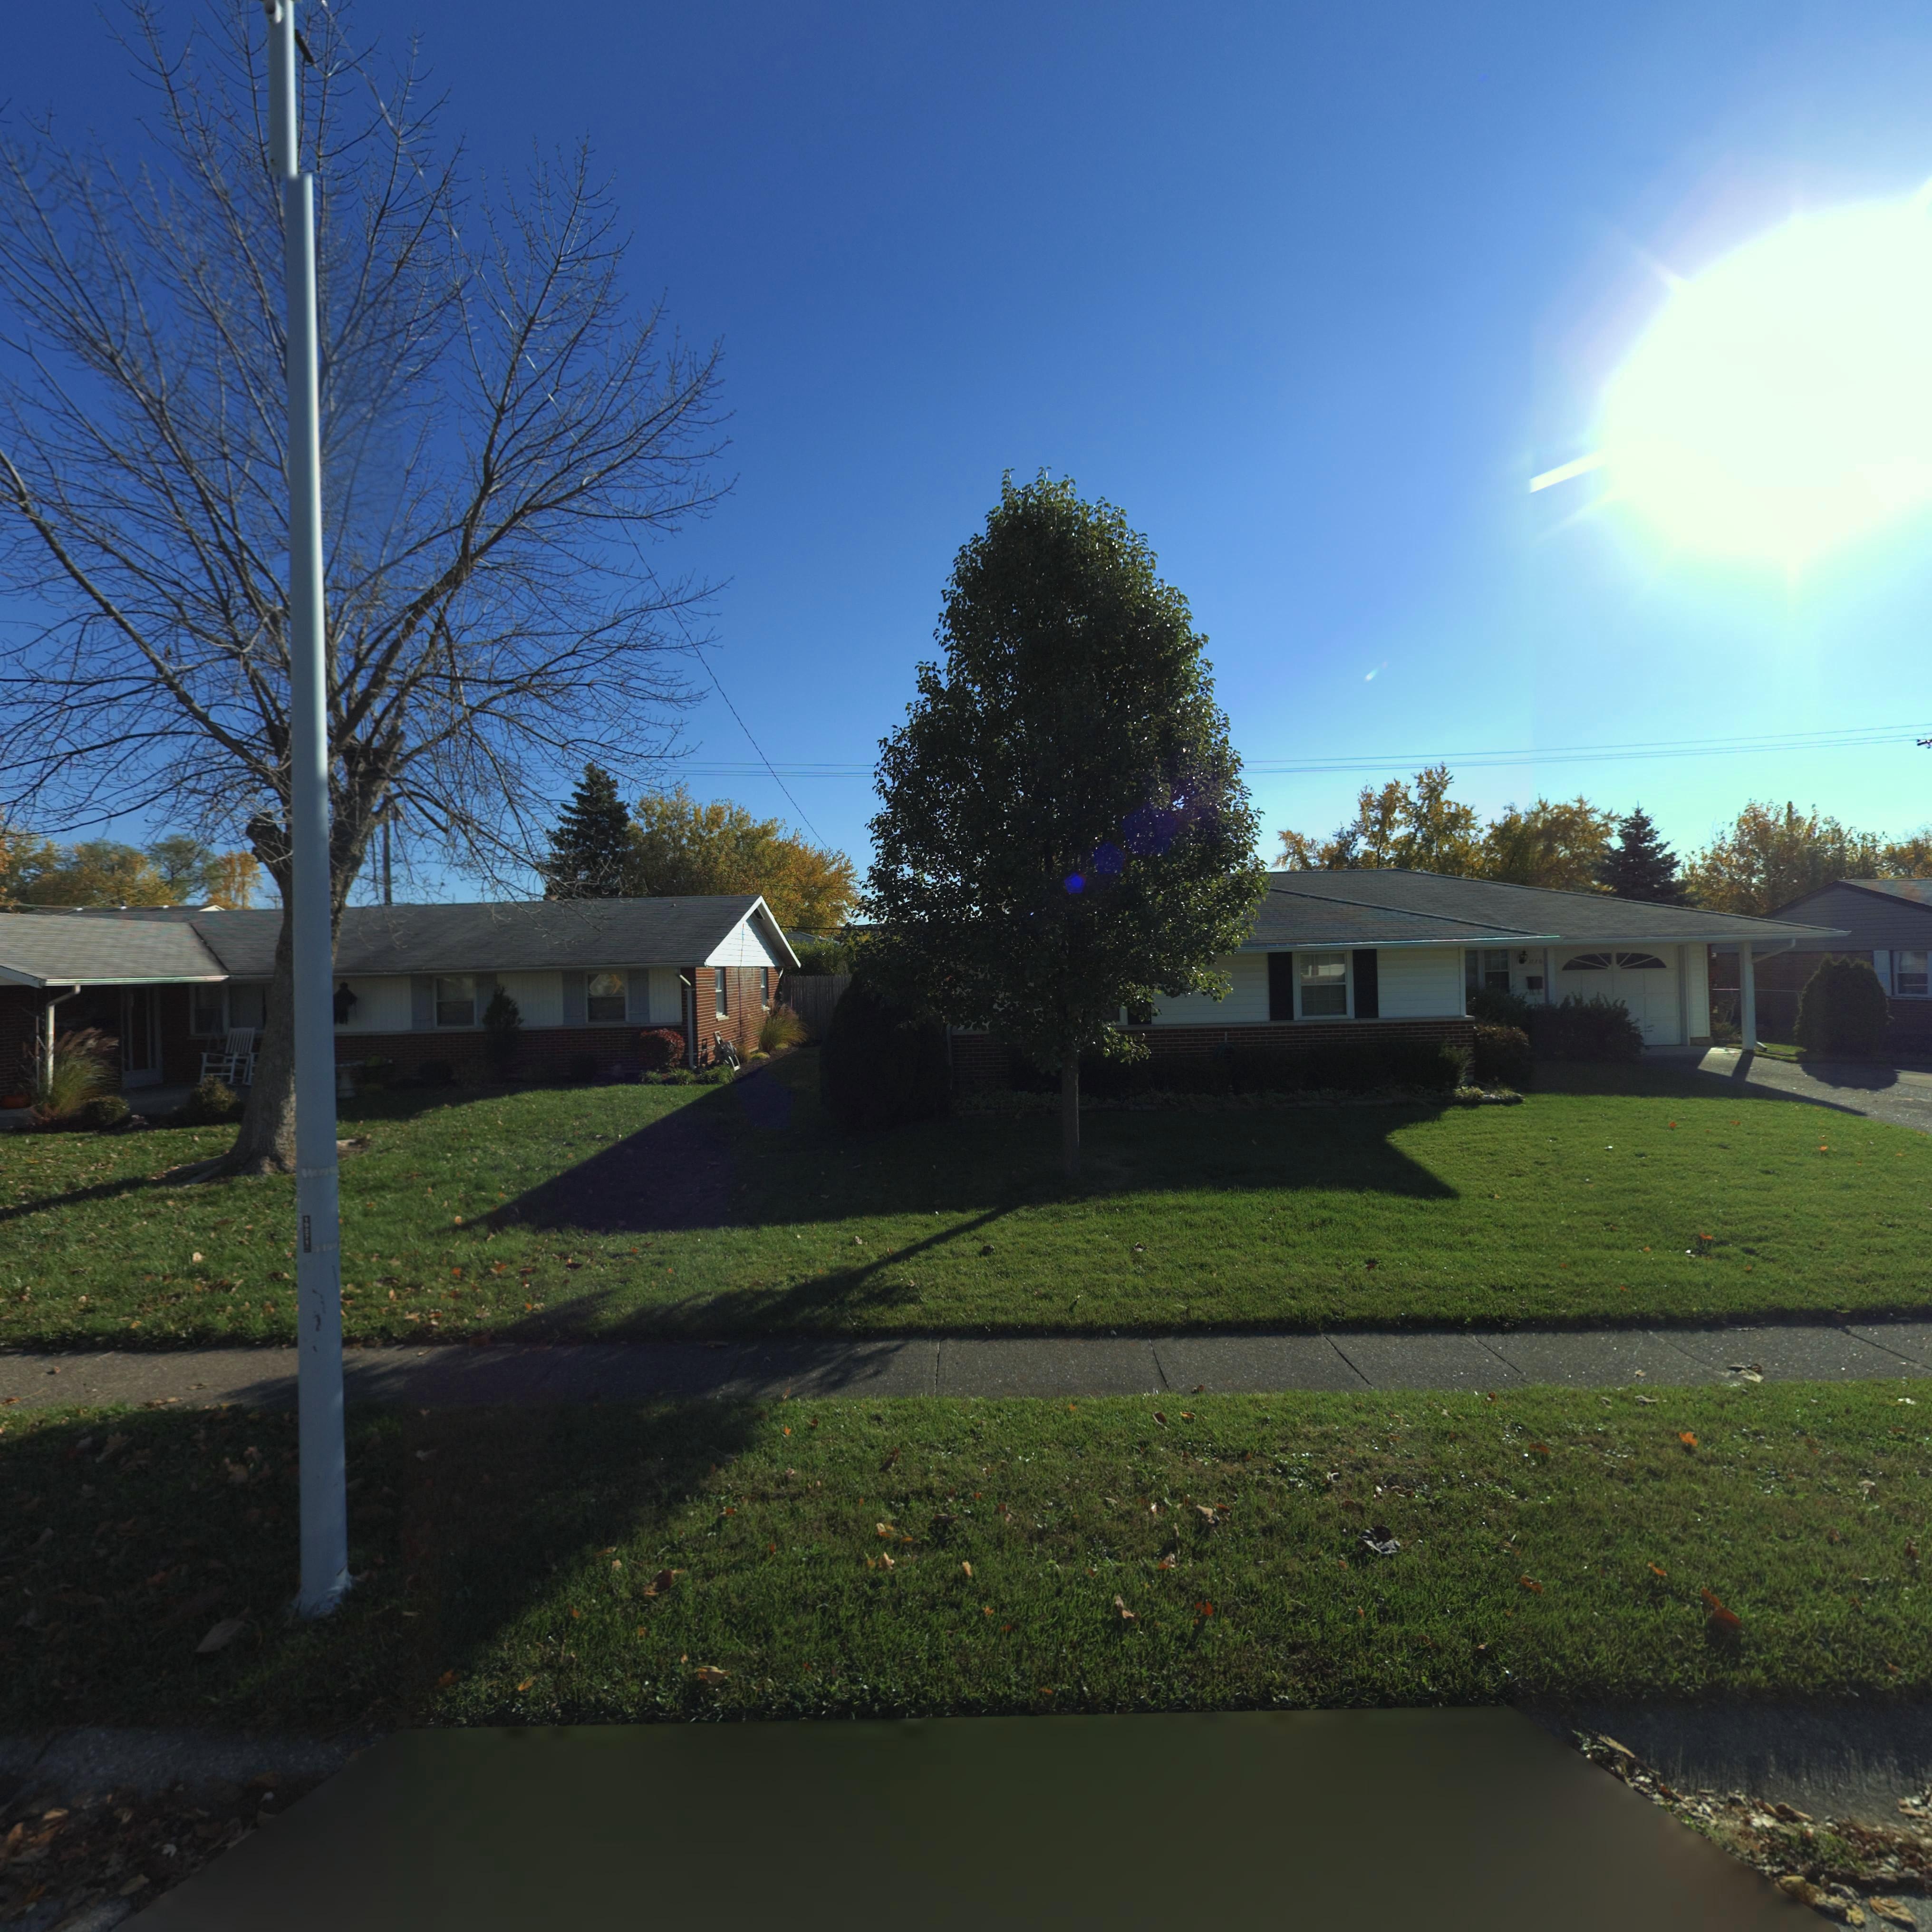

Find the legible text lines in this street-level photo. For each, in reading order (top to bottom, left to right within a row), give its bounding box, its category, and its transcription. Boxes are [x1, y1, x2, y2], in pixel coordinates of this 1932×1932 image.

[1527, 958, 1544, 965] StreetNumber: **7*